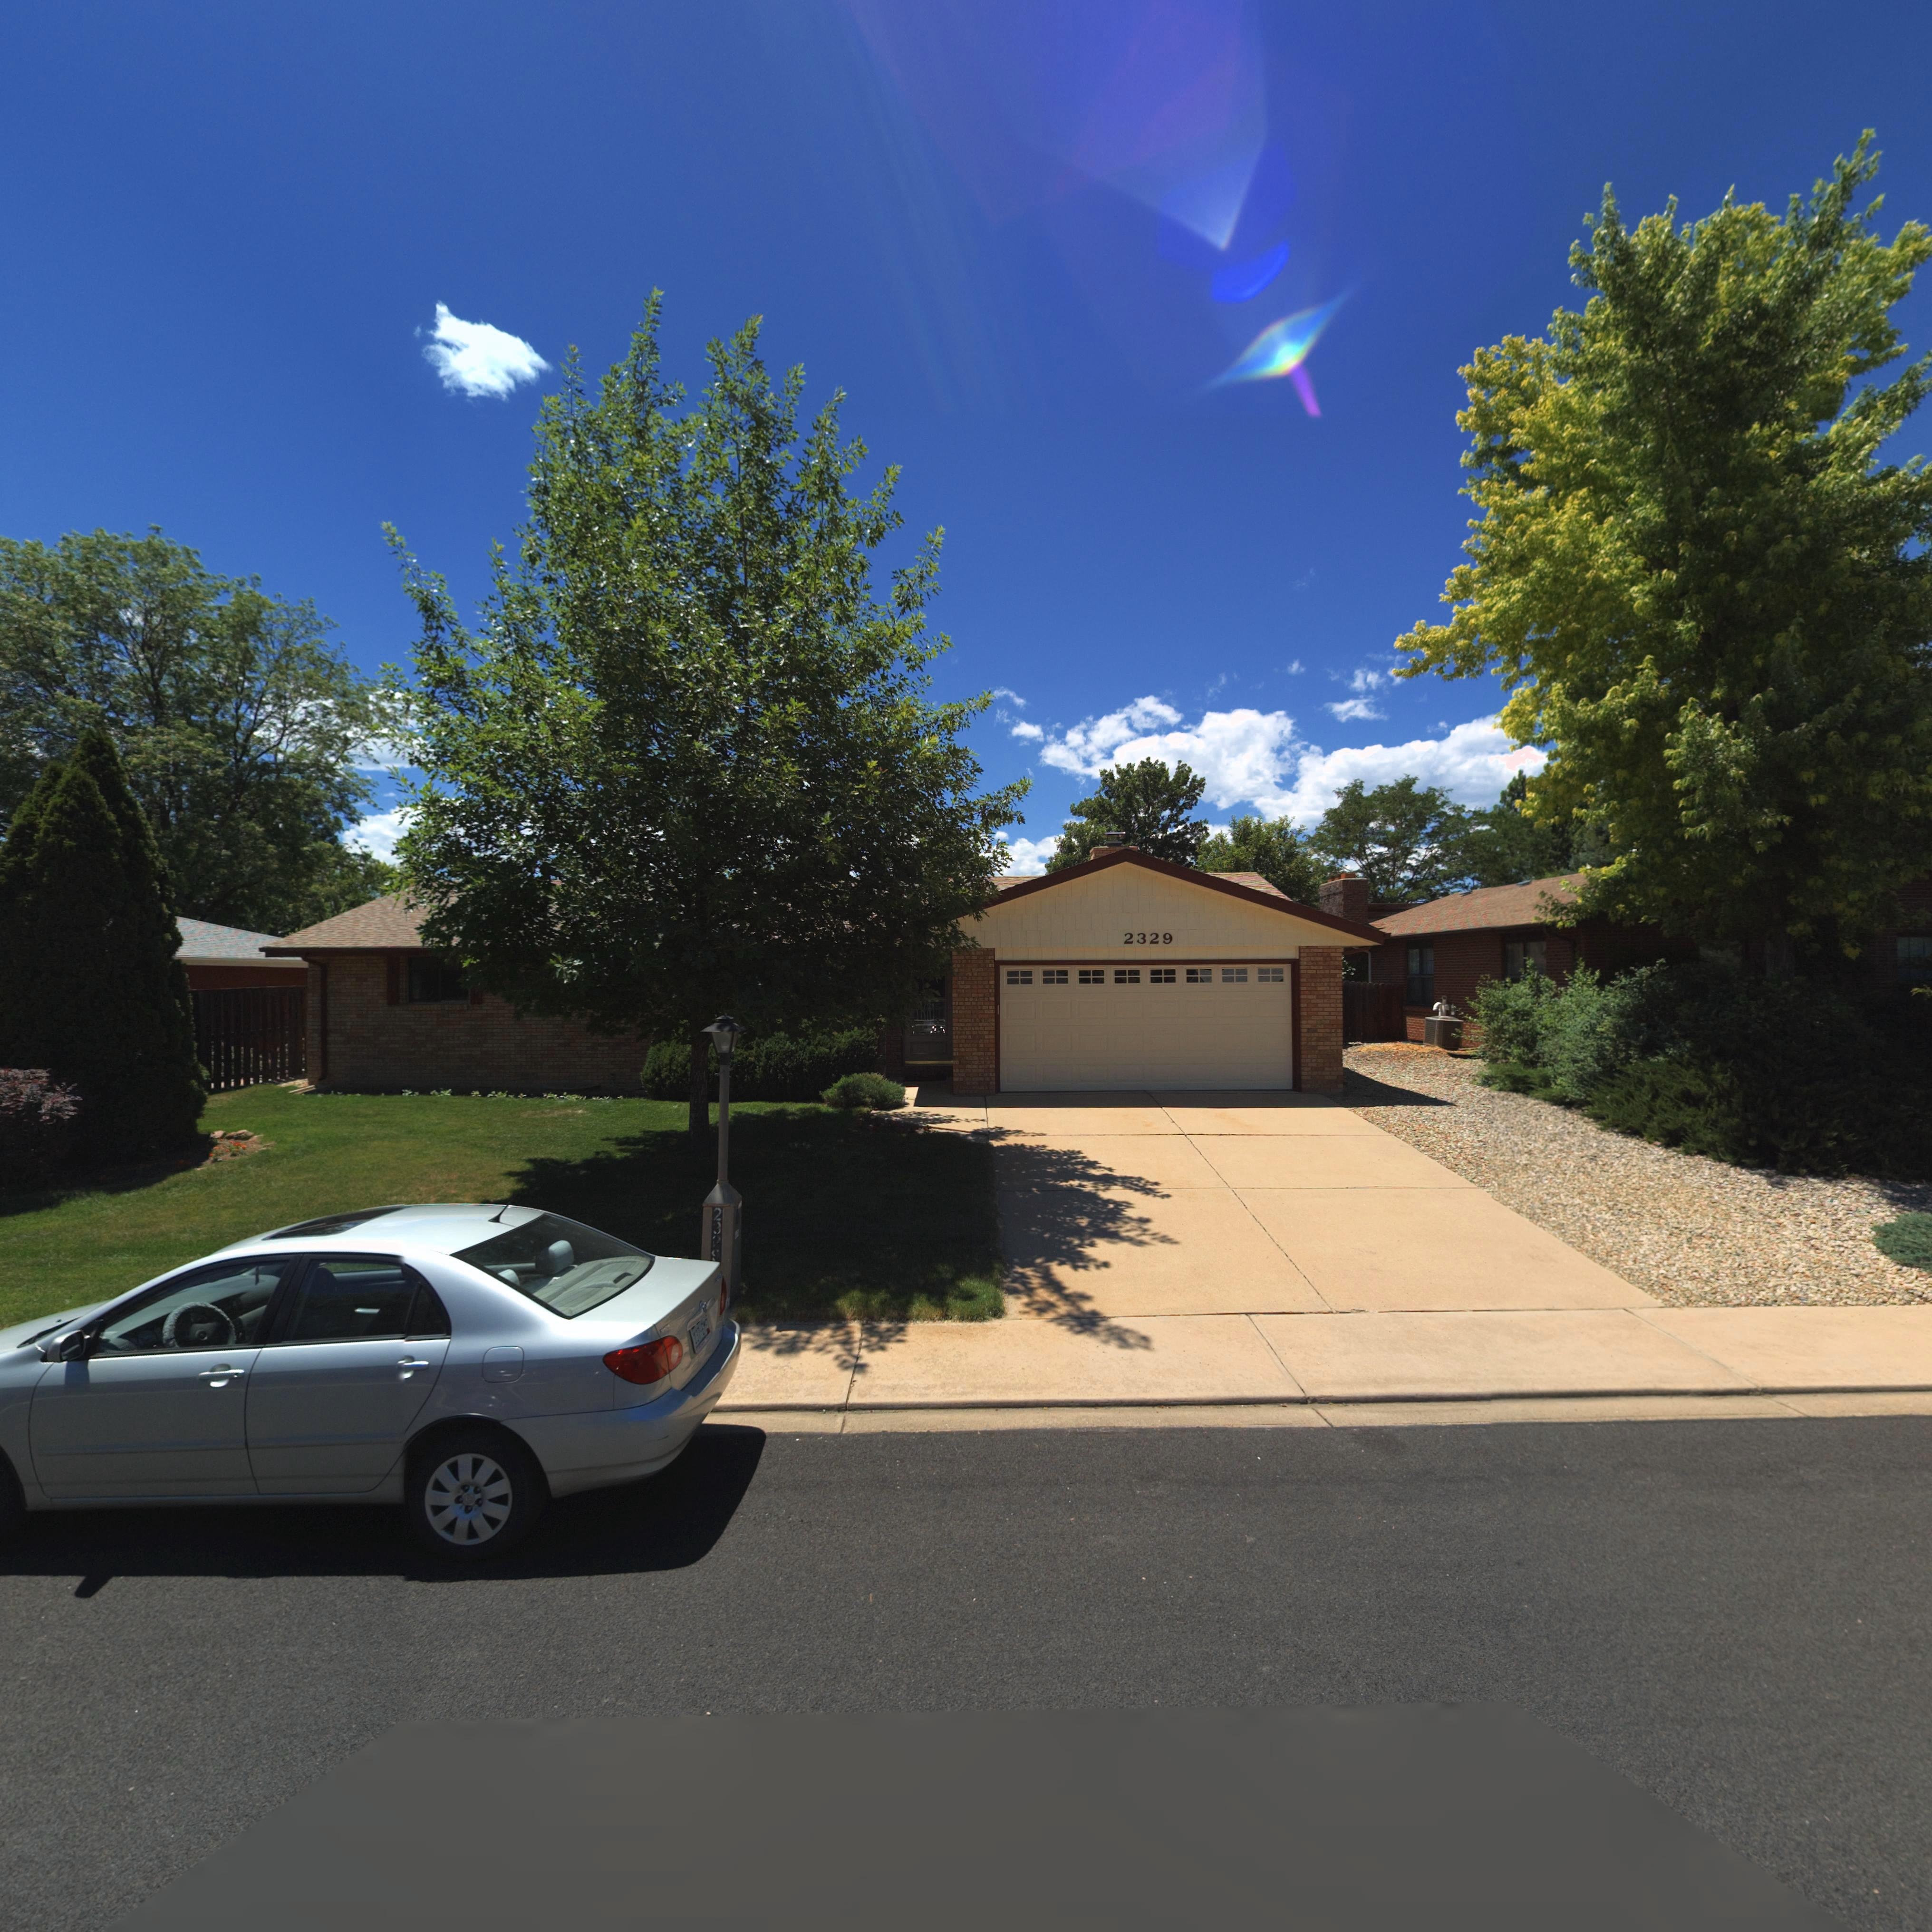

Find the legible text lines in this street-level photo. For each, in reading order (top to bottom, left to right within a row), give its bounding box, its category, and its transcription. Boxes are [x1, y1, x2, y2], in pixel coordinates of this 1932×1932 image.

[1123, 932, 1173, 945] StreetNumber: 2329